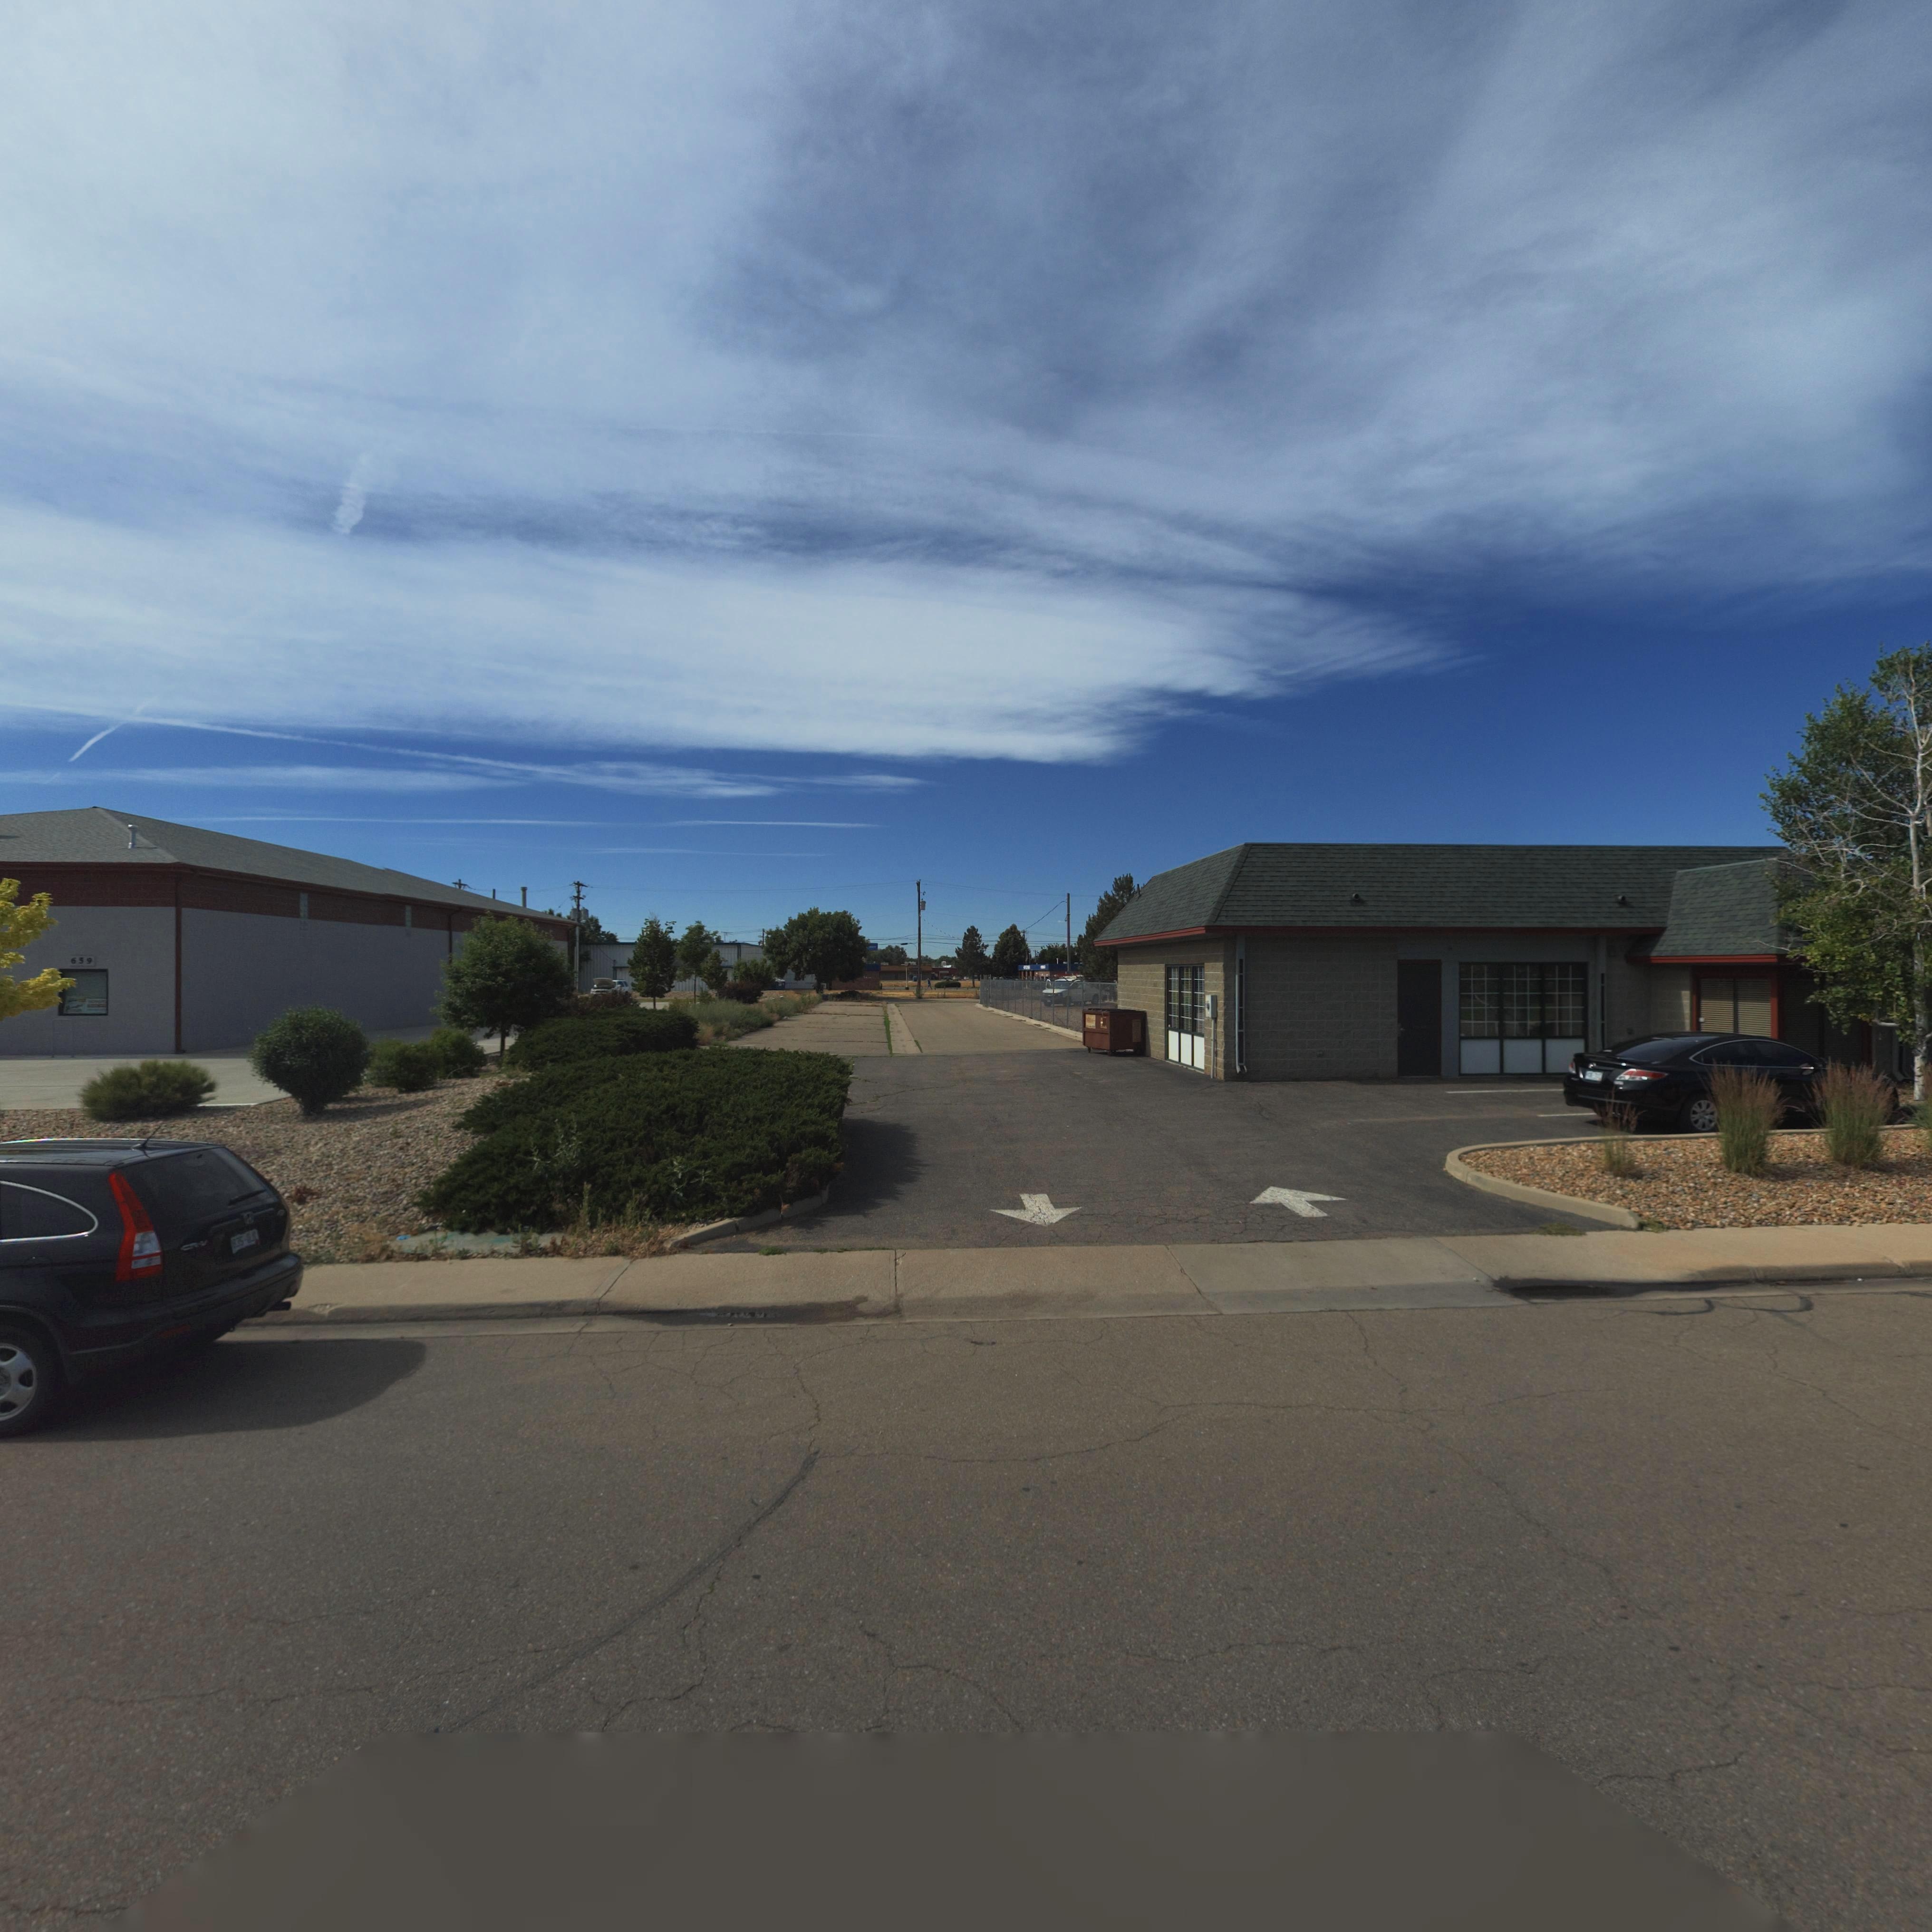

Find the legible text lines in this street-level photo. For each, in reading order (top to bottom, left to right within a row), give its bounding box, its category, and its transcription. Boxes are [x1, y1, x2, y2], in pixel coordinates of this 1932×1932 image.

[70, 956, 92, 964] StreetNumber: 659